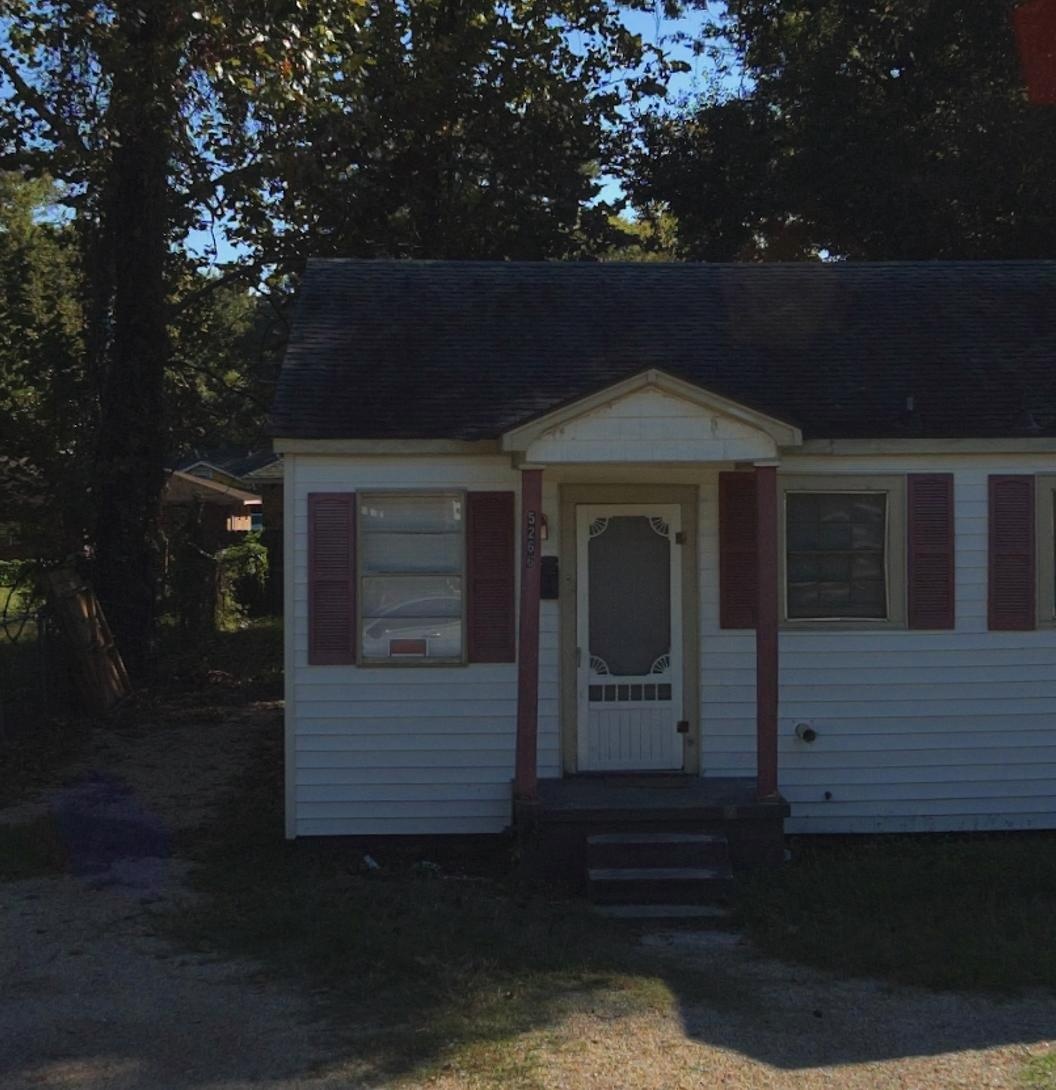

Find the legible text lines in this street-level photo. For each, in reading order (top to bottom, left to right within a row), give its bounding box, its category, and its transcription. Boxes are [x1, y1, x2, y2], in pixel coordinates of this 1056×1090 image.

[526, 510, 536, 568] StreetNumber: 5266